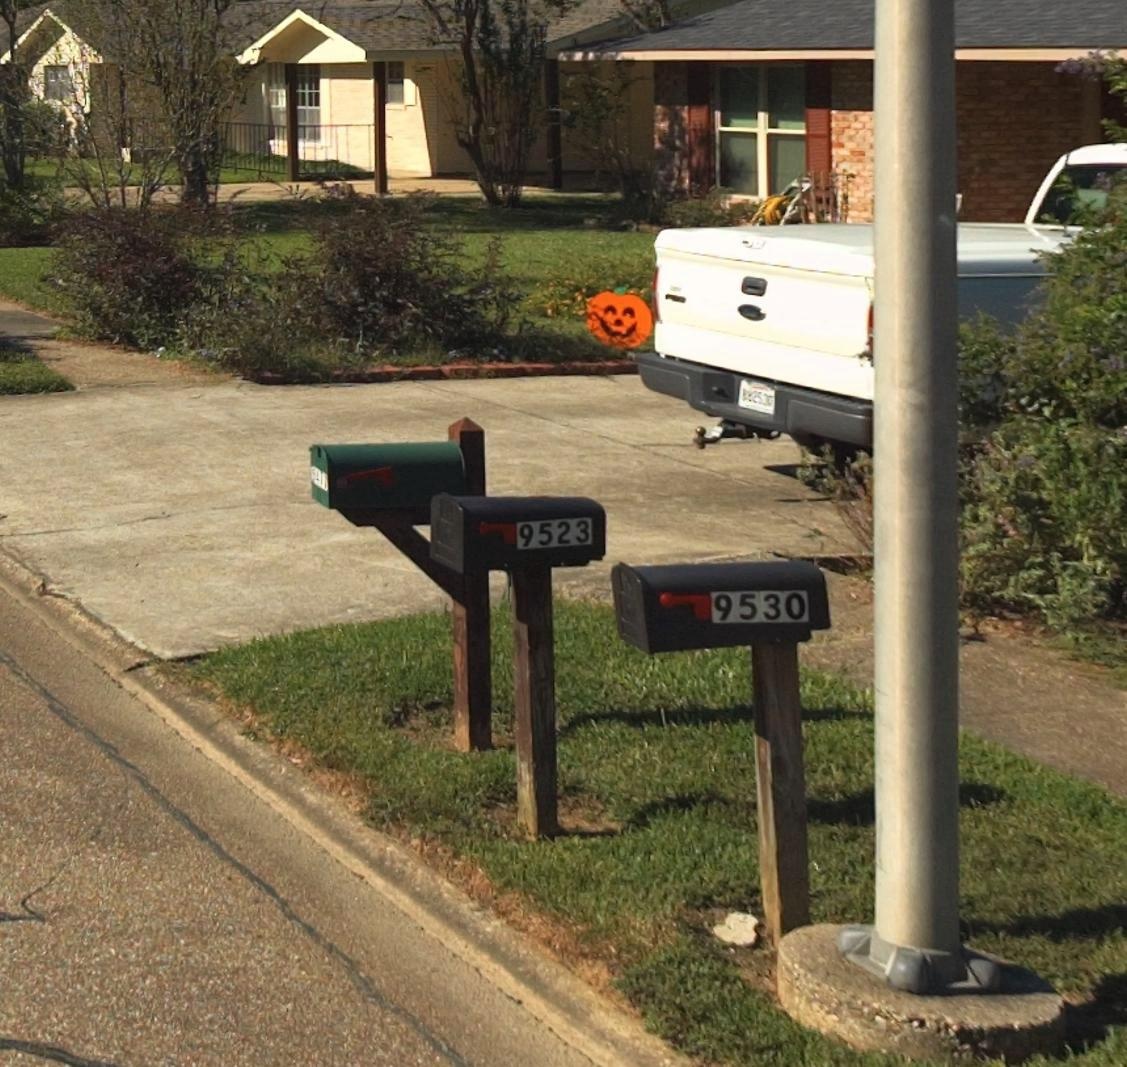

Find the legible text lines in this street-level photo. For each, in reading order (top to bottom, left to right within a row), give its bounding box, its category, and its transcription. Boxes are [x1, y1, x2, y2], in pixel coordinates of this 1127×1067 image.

[742, 386, 774, 408] None: **2530
[518, 519, 591, 548] StreetNumber: 9523
[713, 592, 807, 622] StreetNumber: 9530